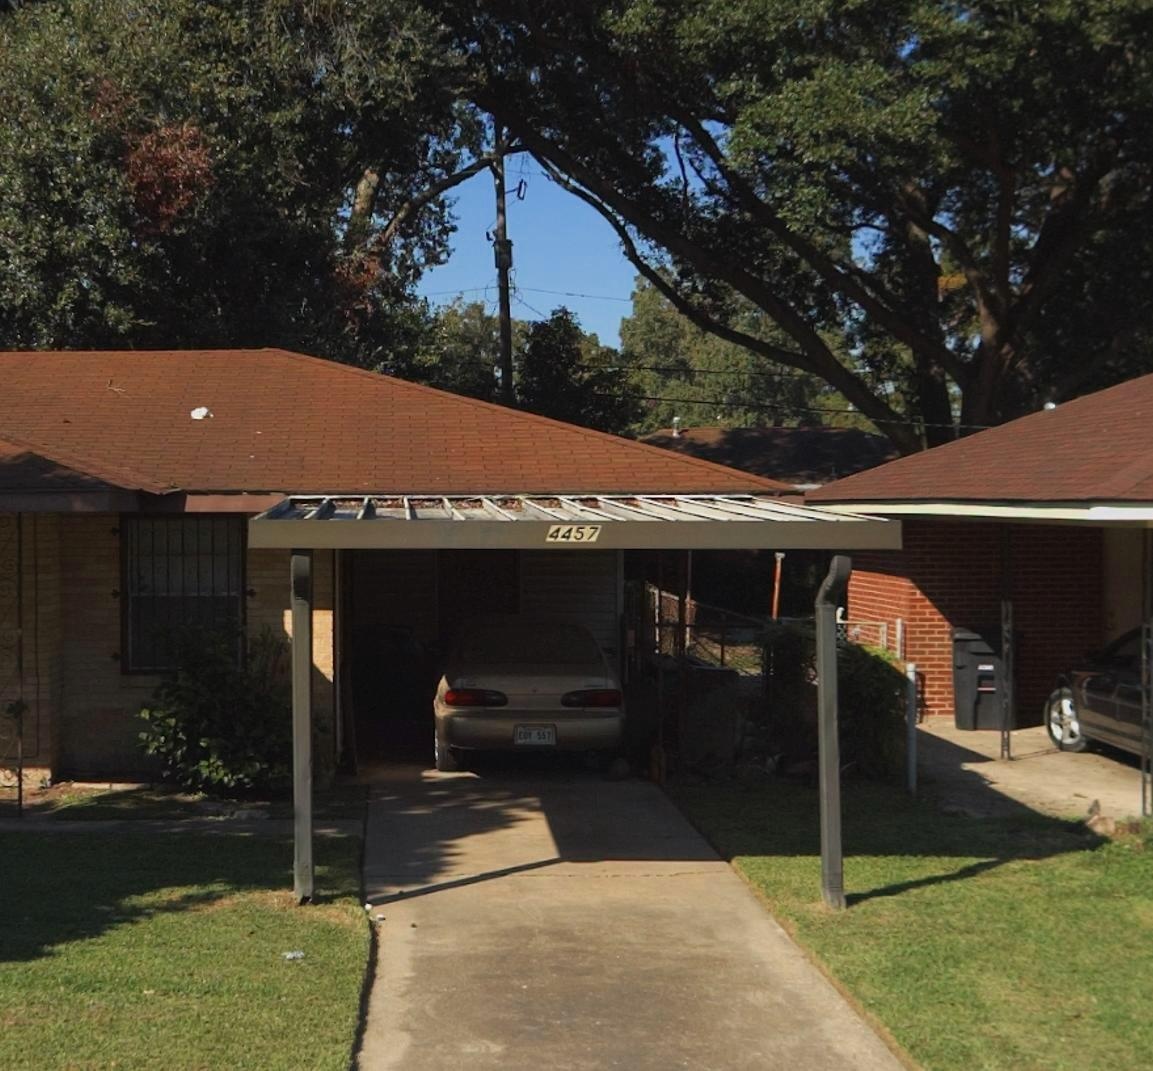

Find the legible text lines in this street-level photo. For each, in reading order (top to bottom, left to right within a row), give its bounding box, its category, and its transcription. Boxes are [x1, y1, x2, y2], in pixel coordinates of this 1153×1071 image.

[546, 525, 602, 542] StreetNumber: 4457
[518, 730, 552, 740] None: EGY*557